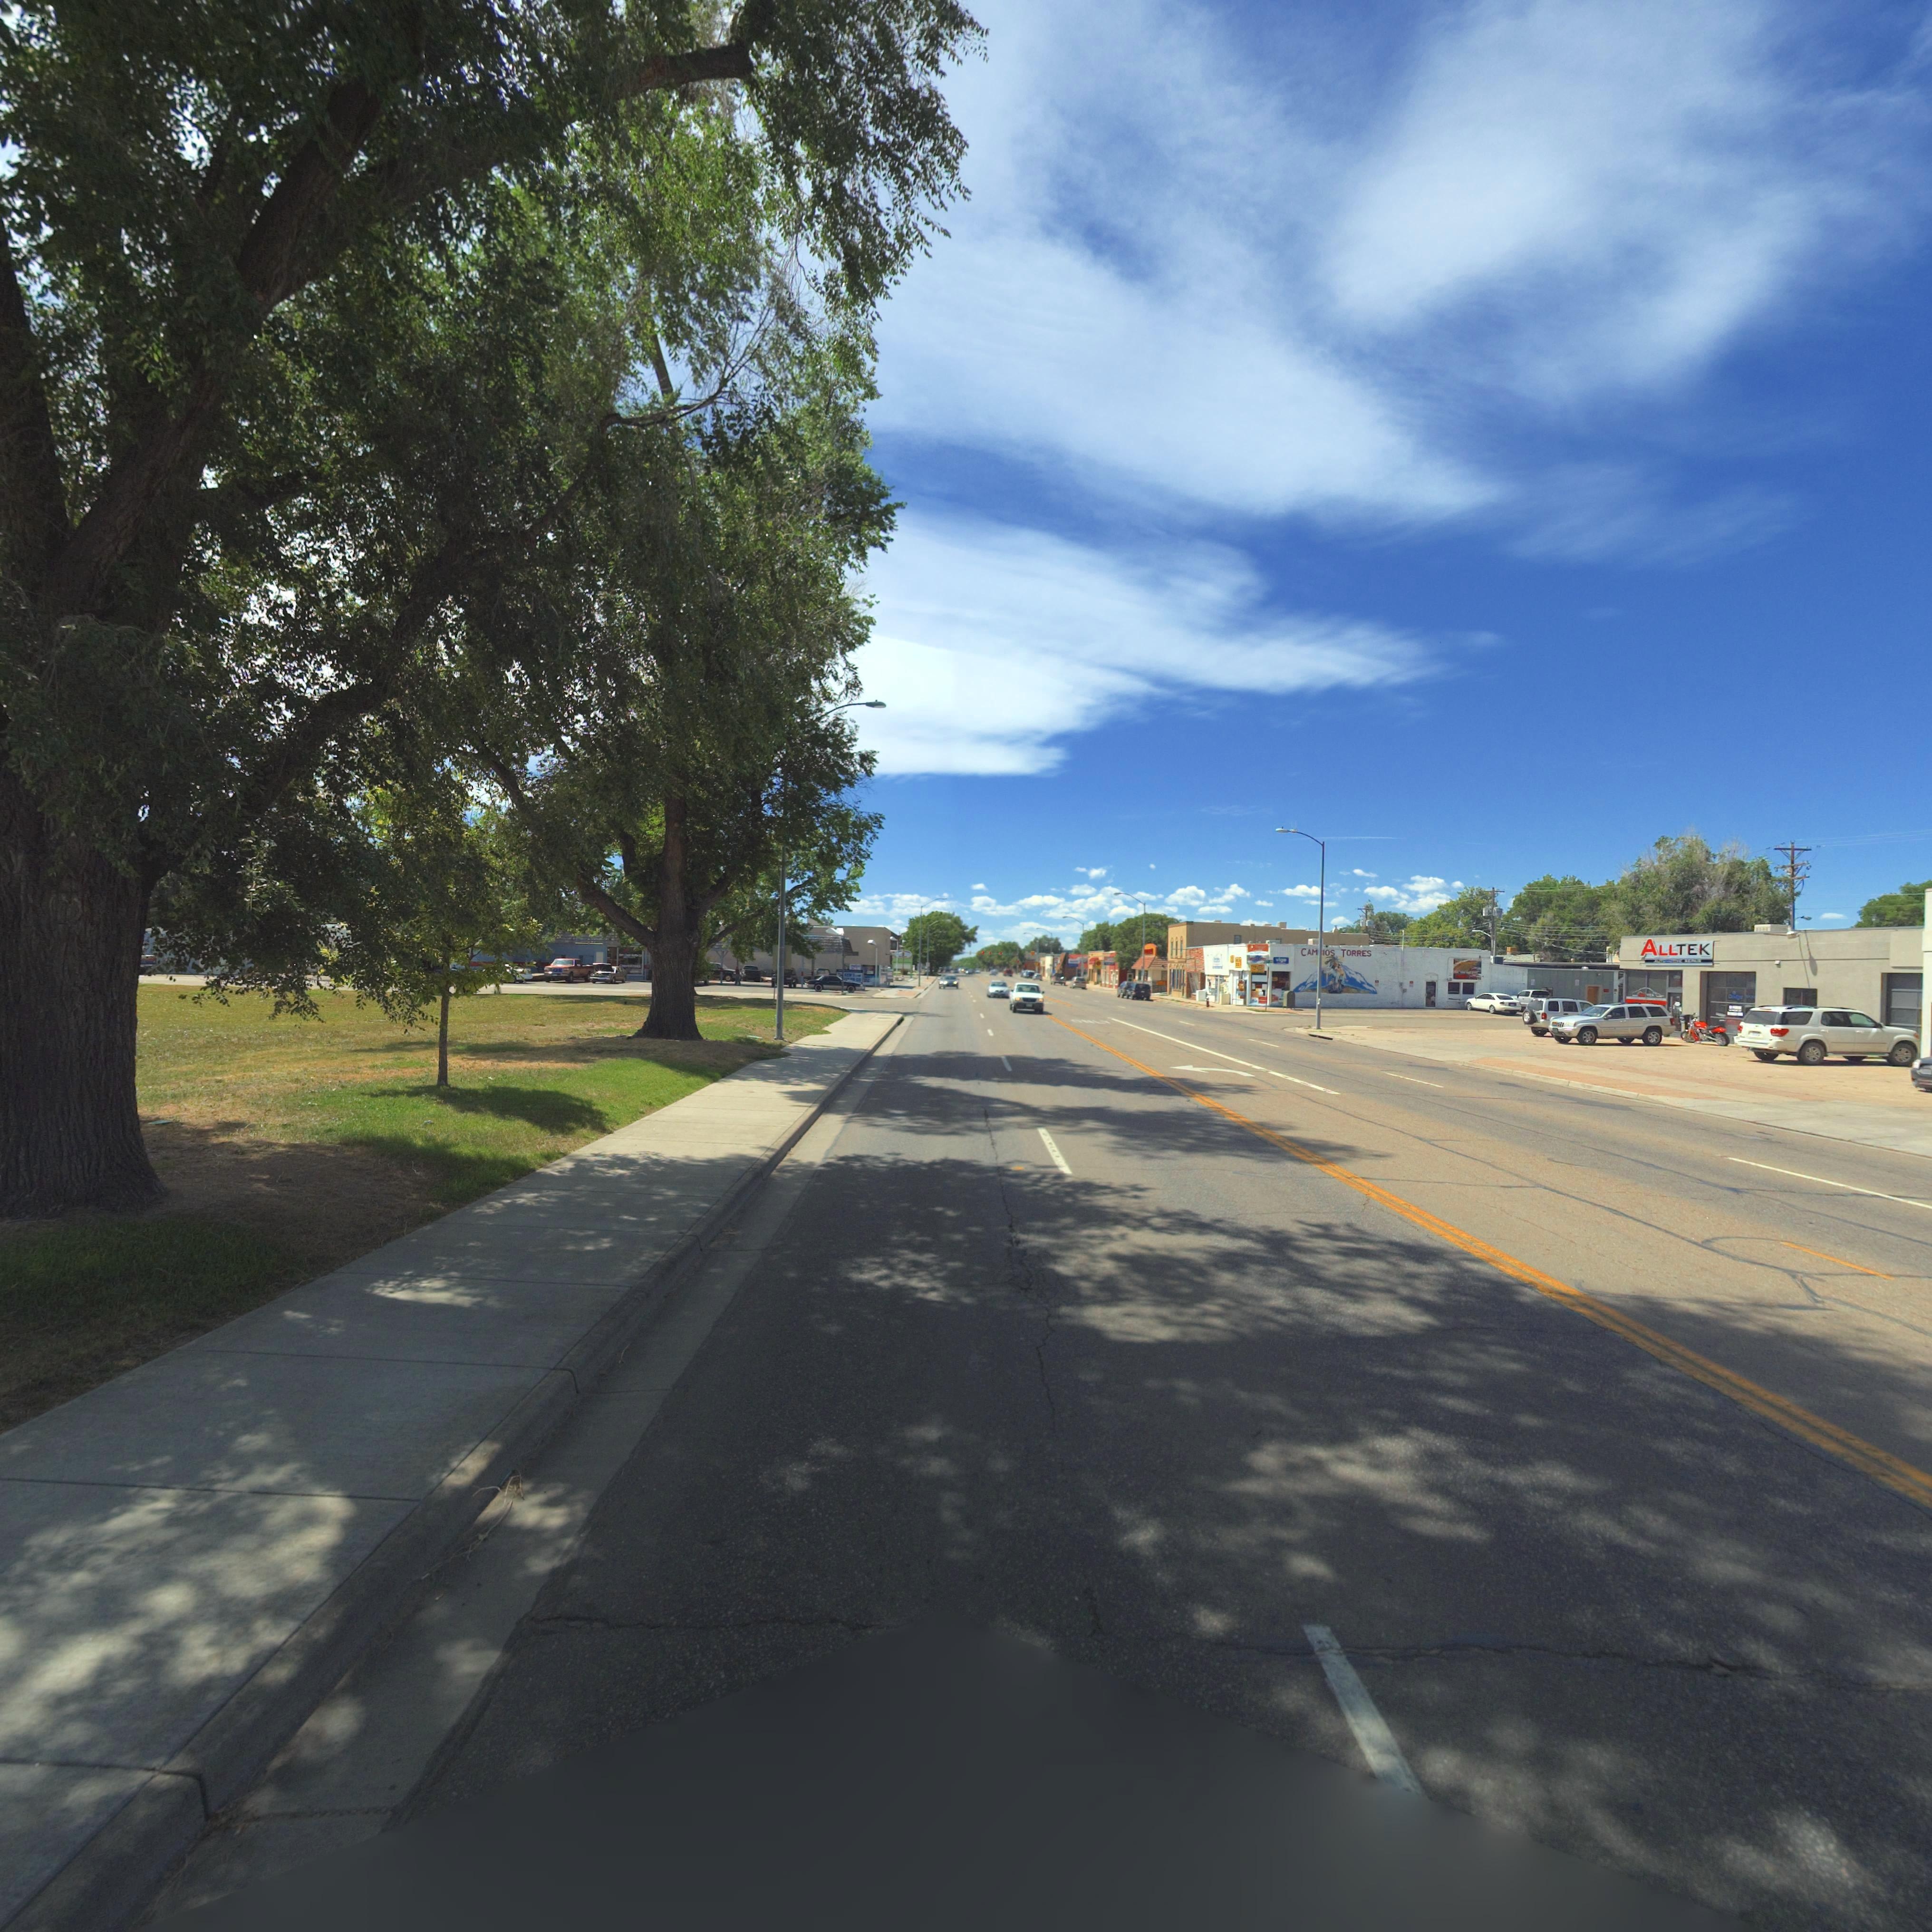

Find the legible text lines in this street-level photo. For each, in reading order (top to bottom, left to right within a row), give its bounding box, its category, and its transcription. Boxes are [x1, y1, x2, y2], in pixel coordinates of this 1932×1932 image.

[1639, 938, 1710, 956] BusinessName: ALLTEK
[1300, 947, 1372, 958] BusinessName: CAM*IOS TORRES
[844, 973, 855, 977] BusinessName: KEN'S
[856, 977, 860, 982] BusinessName: CO